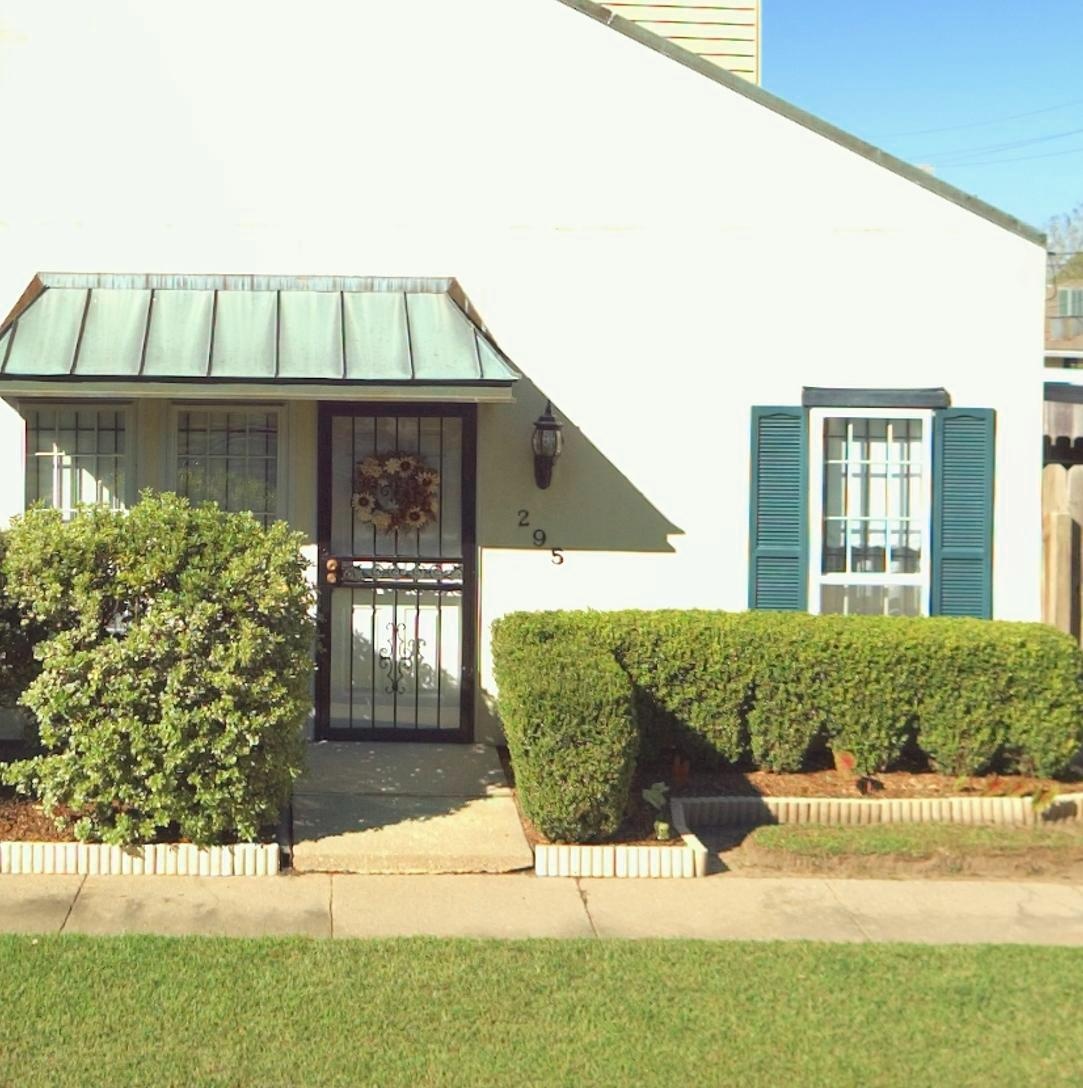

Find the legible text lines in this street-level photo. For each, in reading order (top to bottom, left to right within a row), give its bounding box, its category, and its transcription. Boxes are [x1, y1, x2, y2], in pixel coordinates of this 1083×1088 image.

[516, 507, 566, 568] StreetNumber: 295